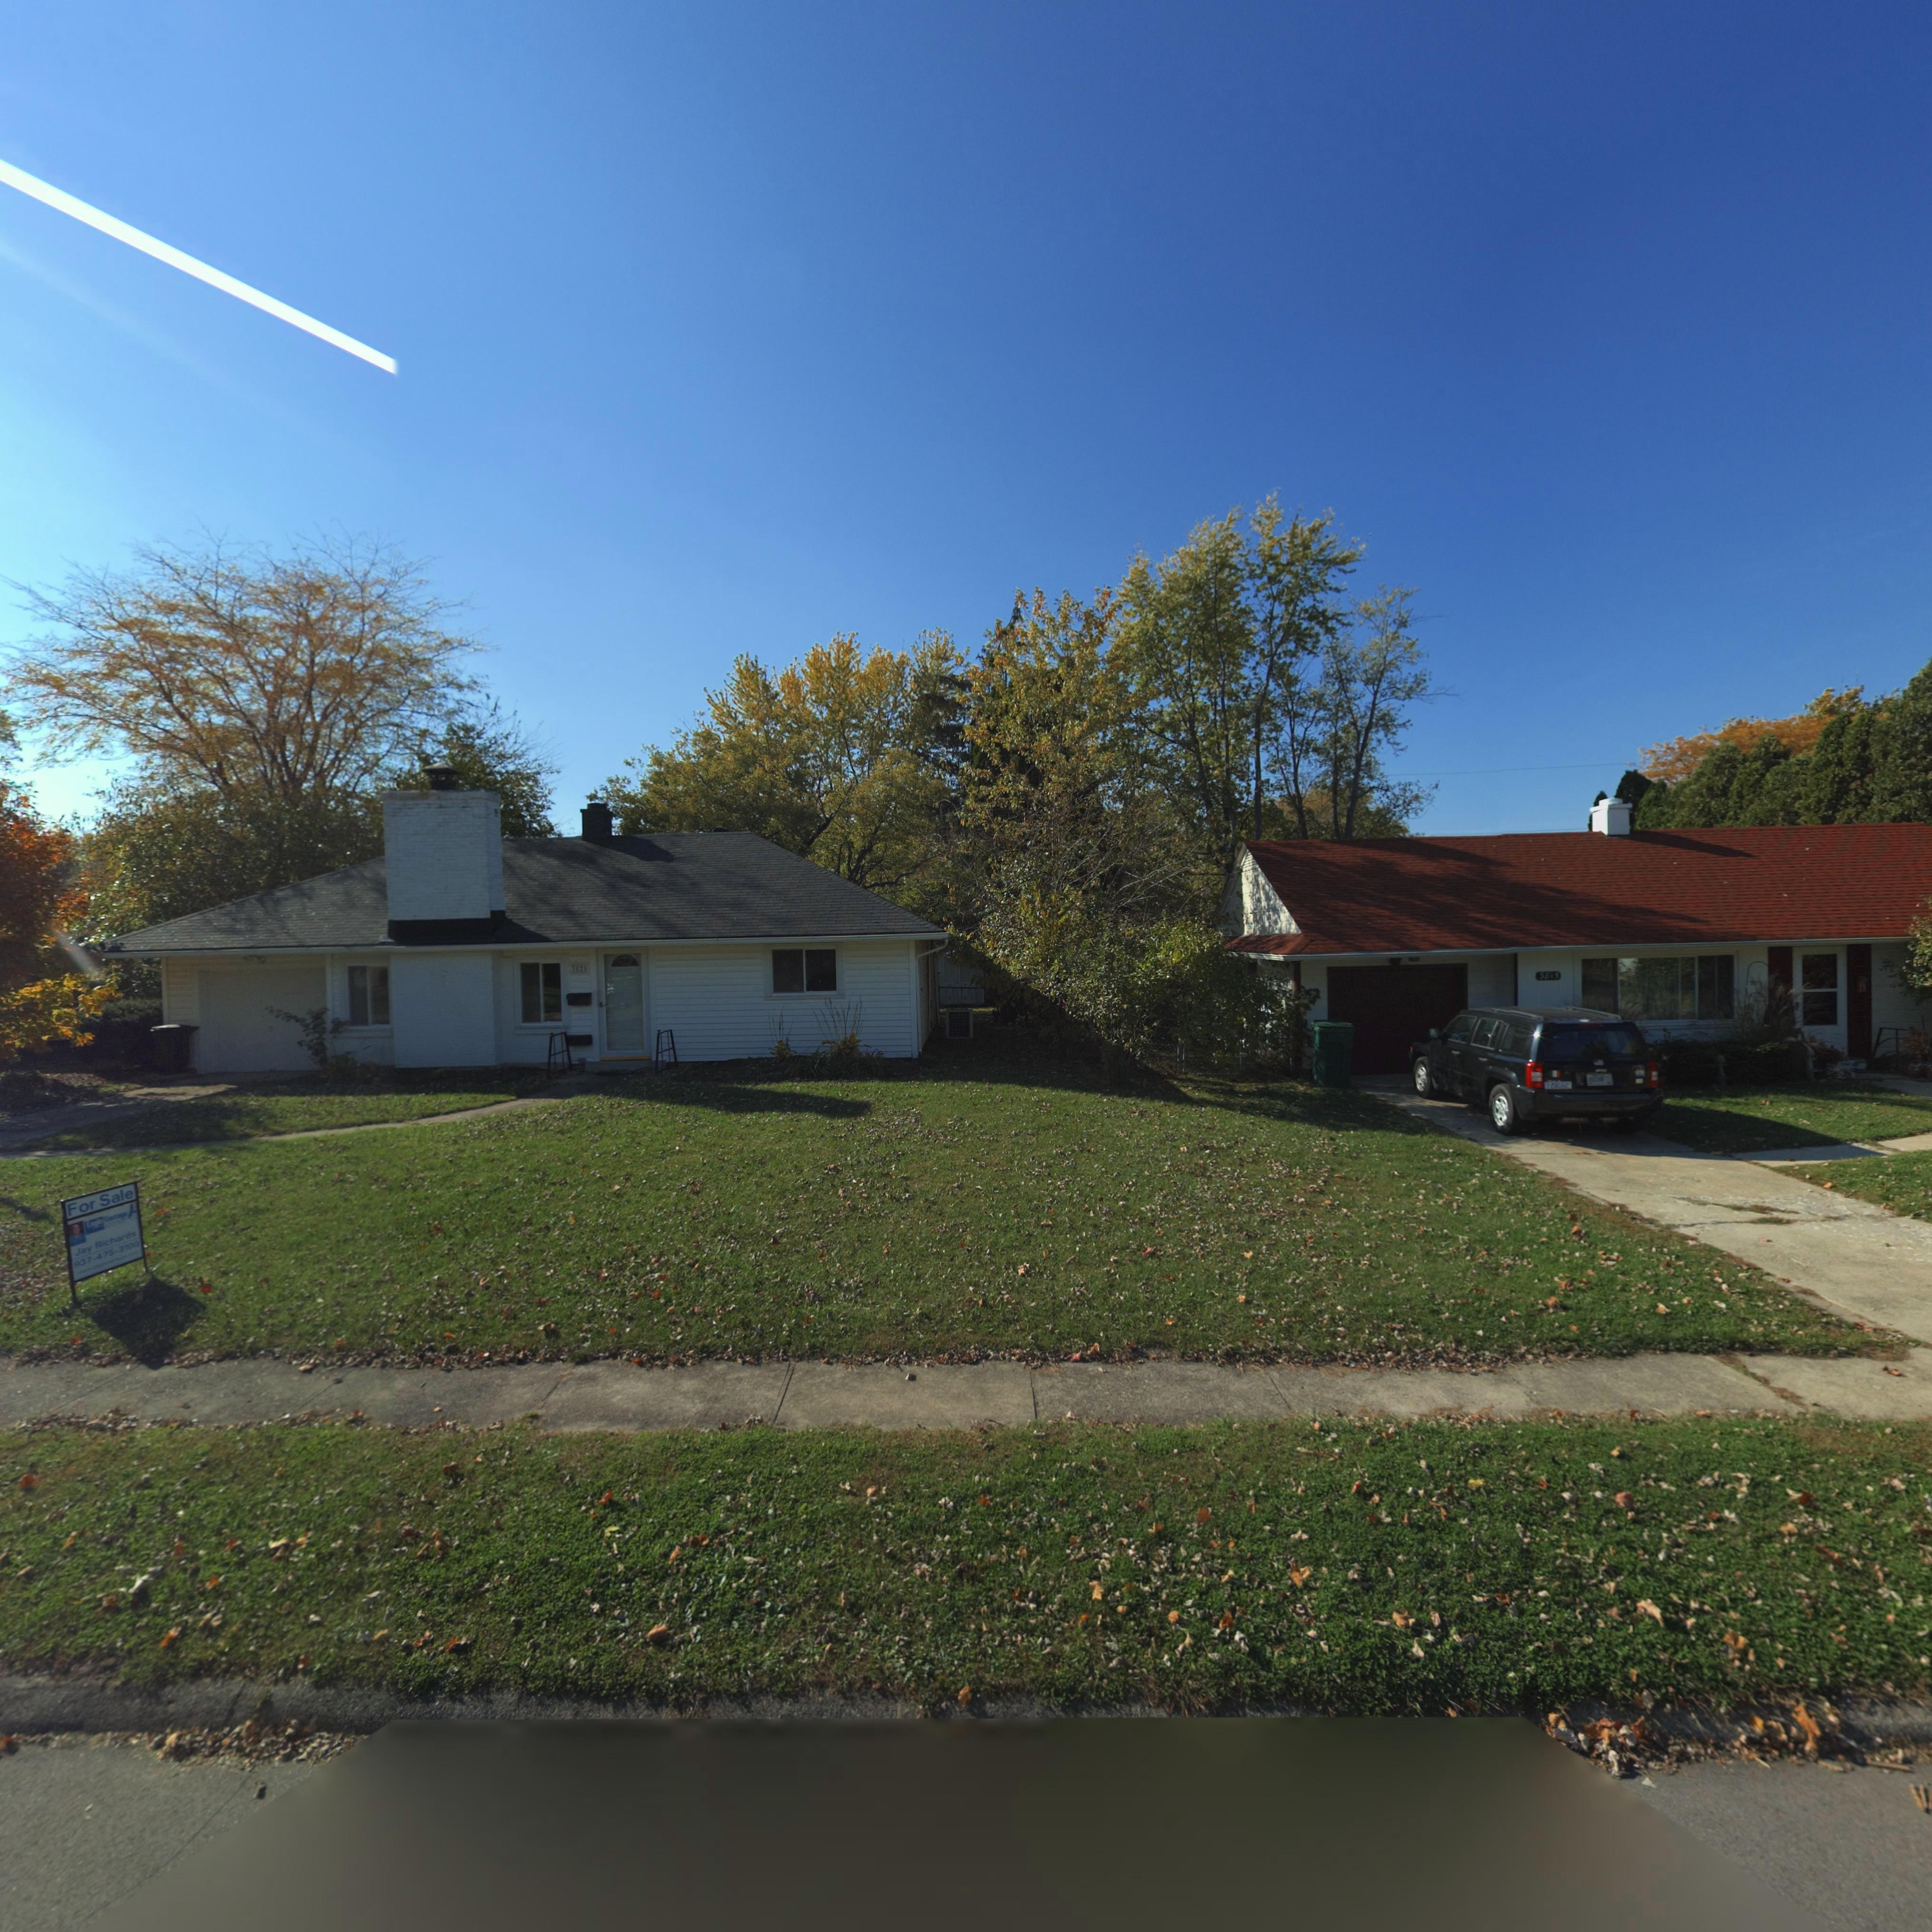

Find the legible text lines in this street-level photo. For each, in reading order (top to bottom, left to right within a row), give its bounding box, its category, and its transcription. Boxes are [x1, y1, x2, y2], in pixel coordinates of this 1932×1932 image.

[571, 965, 587, 972] StreetNumber: 3821
[1537, 970, 1561, 981] StreetNumber: 3815
[63, 1187, 135, 1219] None: For Sale
[72, 1229, 138, 1258] None: Jay Richards
[71, 1238, 141, 1271] None: 937-475-3700